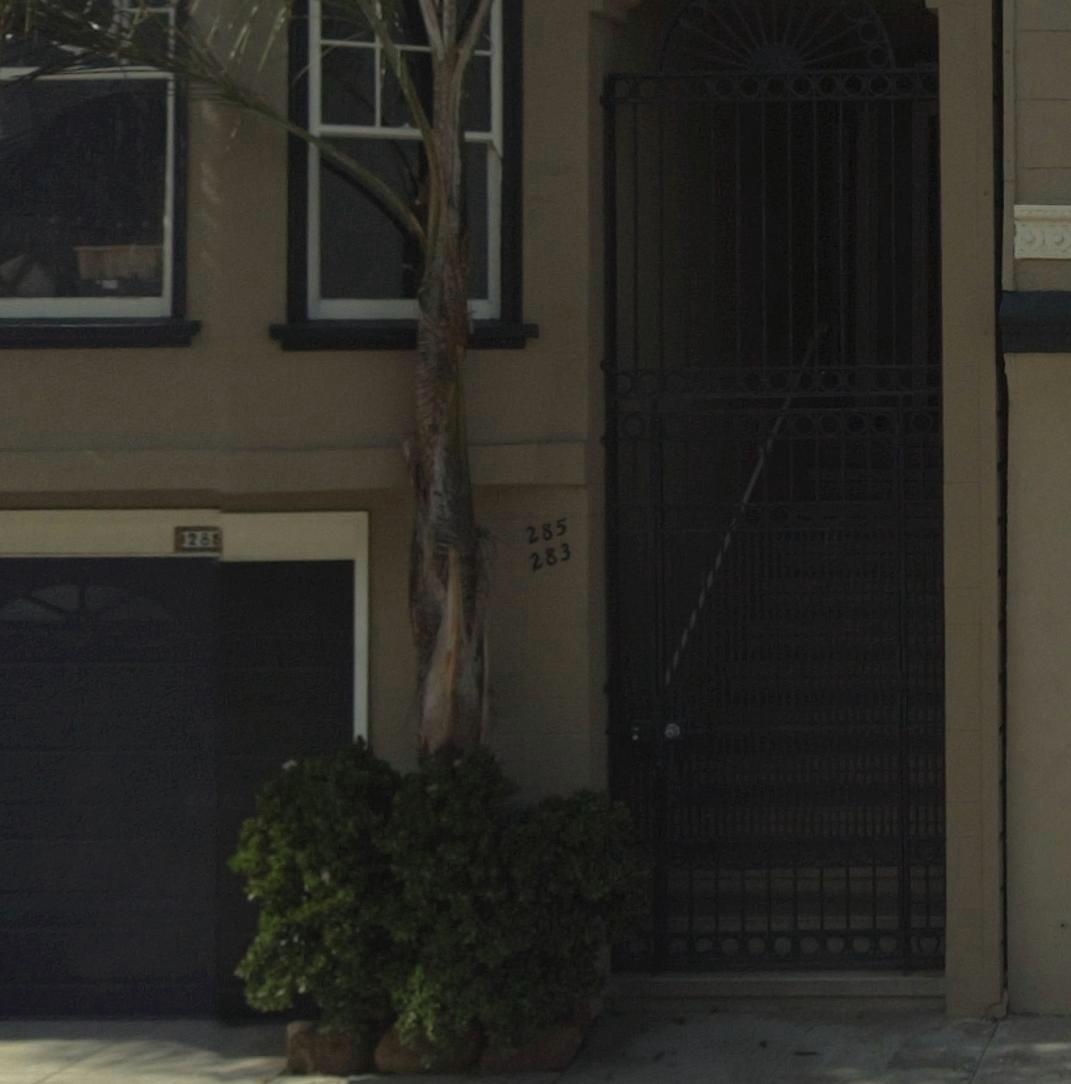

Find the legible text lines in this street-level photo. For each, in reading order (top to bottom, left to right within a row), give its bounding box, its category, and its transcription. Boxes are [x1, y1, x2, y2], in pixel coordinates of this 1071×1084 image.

[185, 529, 223, 549] StreetNumber: 28*
[522, 513, 569, 548] StreetNumber: 285
[526, 538, 574, 577] StreetNumber: 283